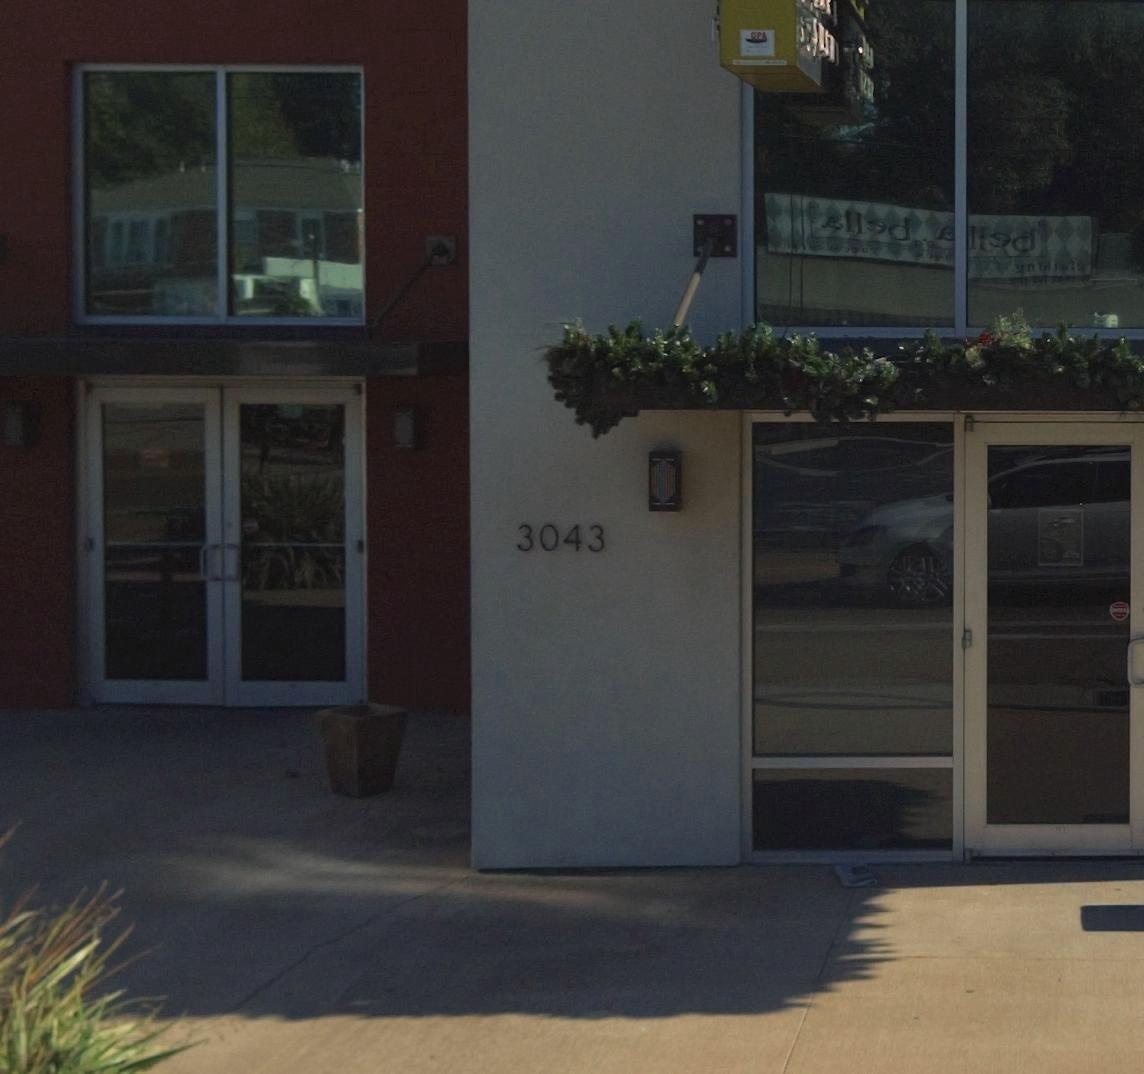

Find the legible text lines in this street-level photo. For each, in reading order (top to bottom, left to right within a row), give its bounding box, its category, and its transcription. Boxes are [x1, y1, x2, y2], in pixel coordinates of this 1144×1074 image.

[817, 206, 914, 246] None: *ll**
[968, 220, 1039, 256] None: ll**
[514, 520, 607, 557] StreetNumber: 3043